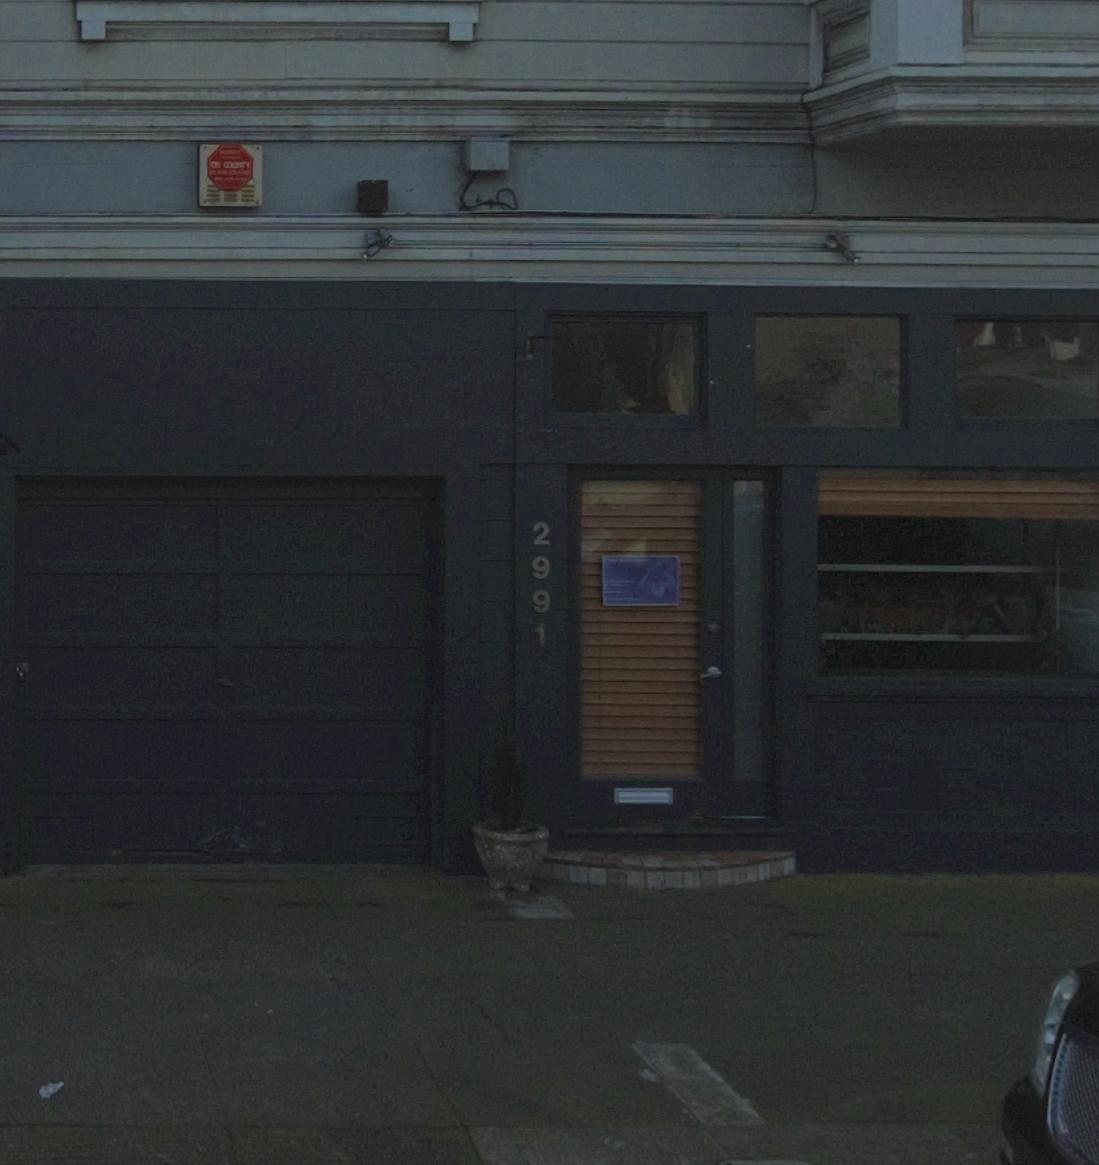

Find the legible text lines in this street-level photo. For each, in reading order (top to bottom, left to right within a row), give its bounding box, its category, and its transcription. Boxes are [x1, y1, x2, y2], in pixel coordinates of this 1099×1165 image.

[529, 517, 552, 651] StreetNumber: 2991